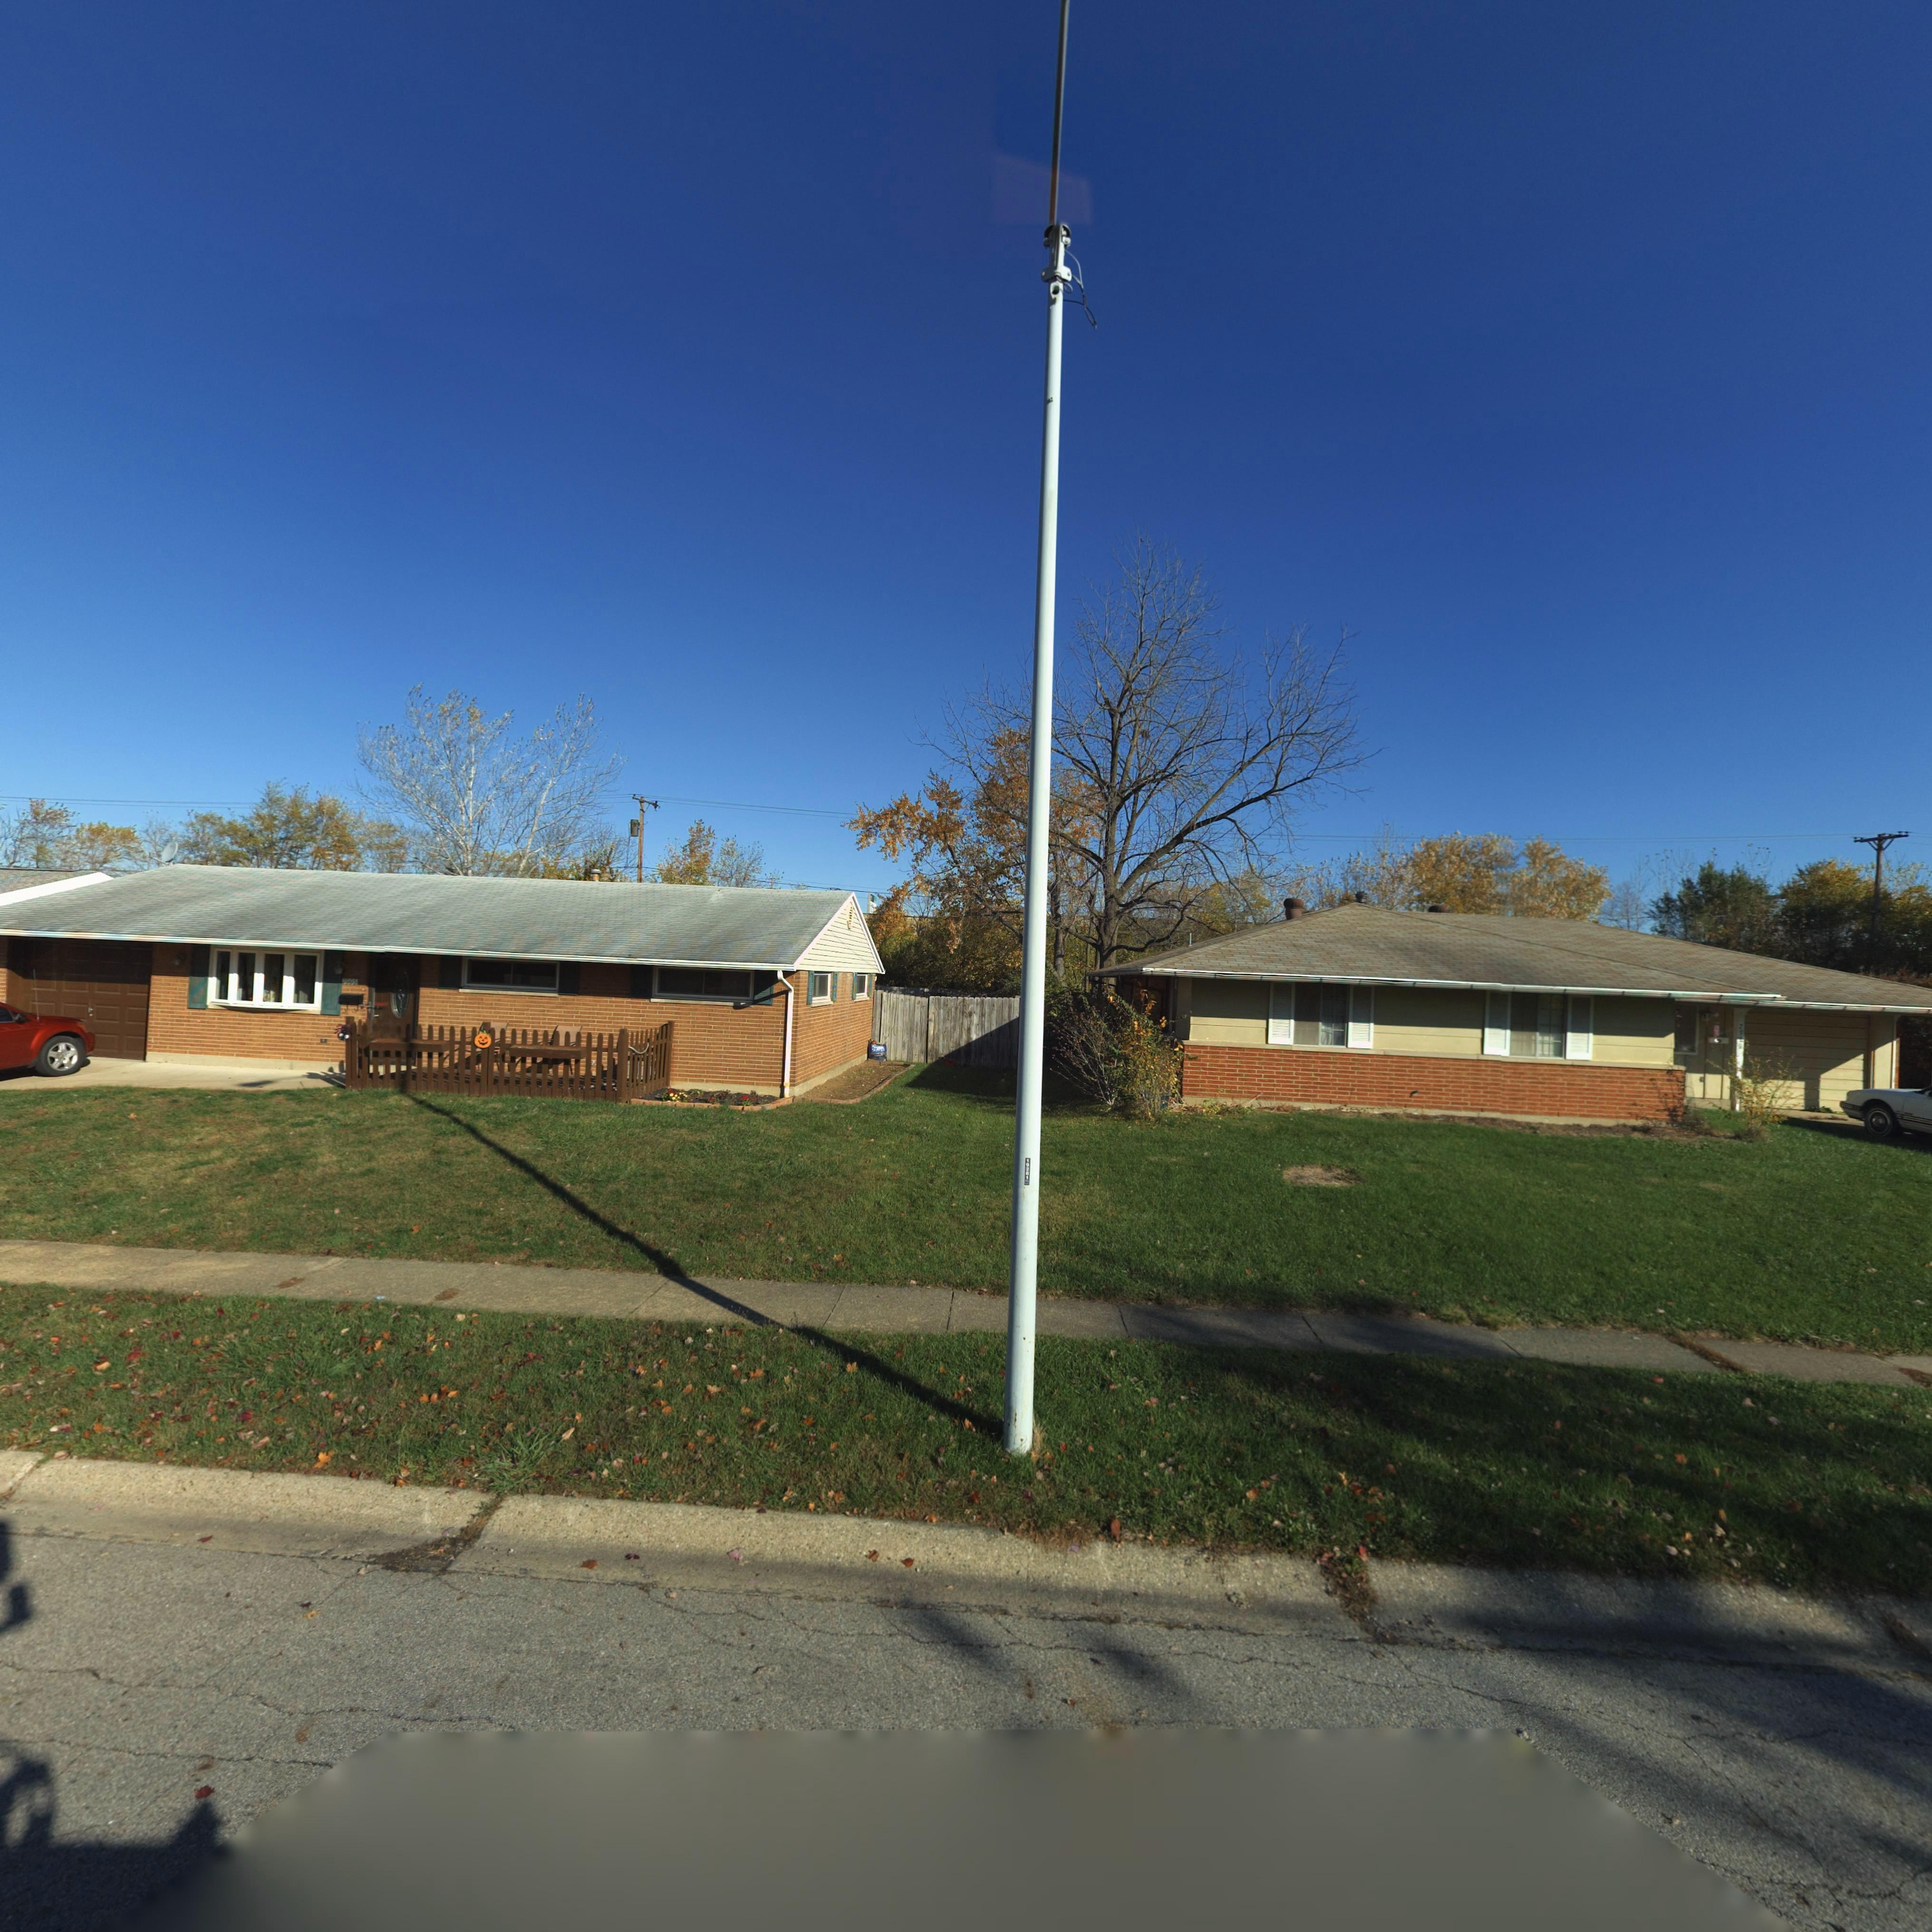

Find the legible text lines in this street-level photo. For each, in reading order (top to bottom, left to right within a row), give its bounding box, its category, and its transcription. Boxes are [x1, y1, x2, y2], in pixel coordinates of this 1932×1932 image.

[341, 978, 358, 985] StreetNumber: *99*
[1737, 1022, 1745, 1051] StreetNumber: 79*9